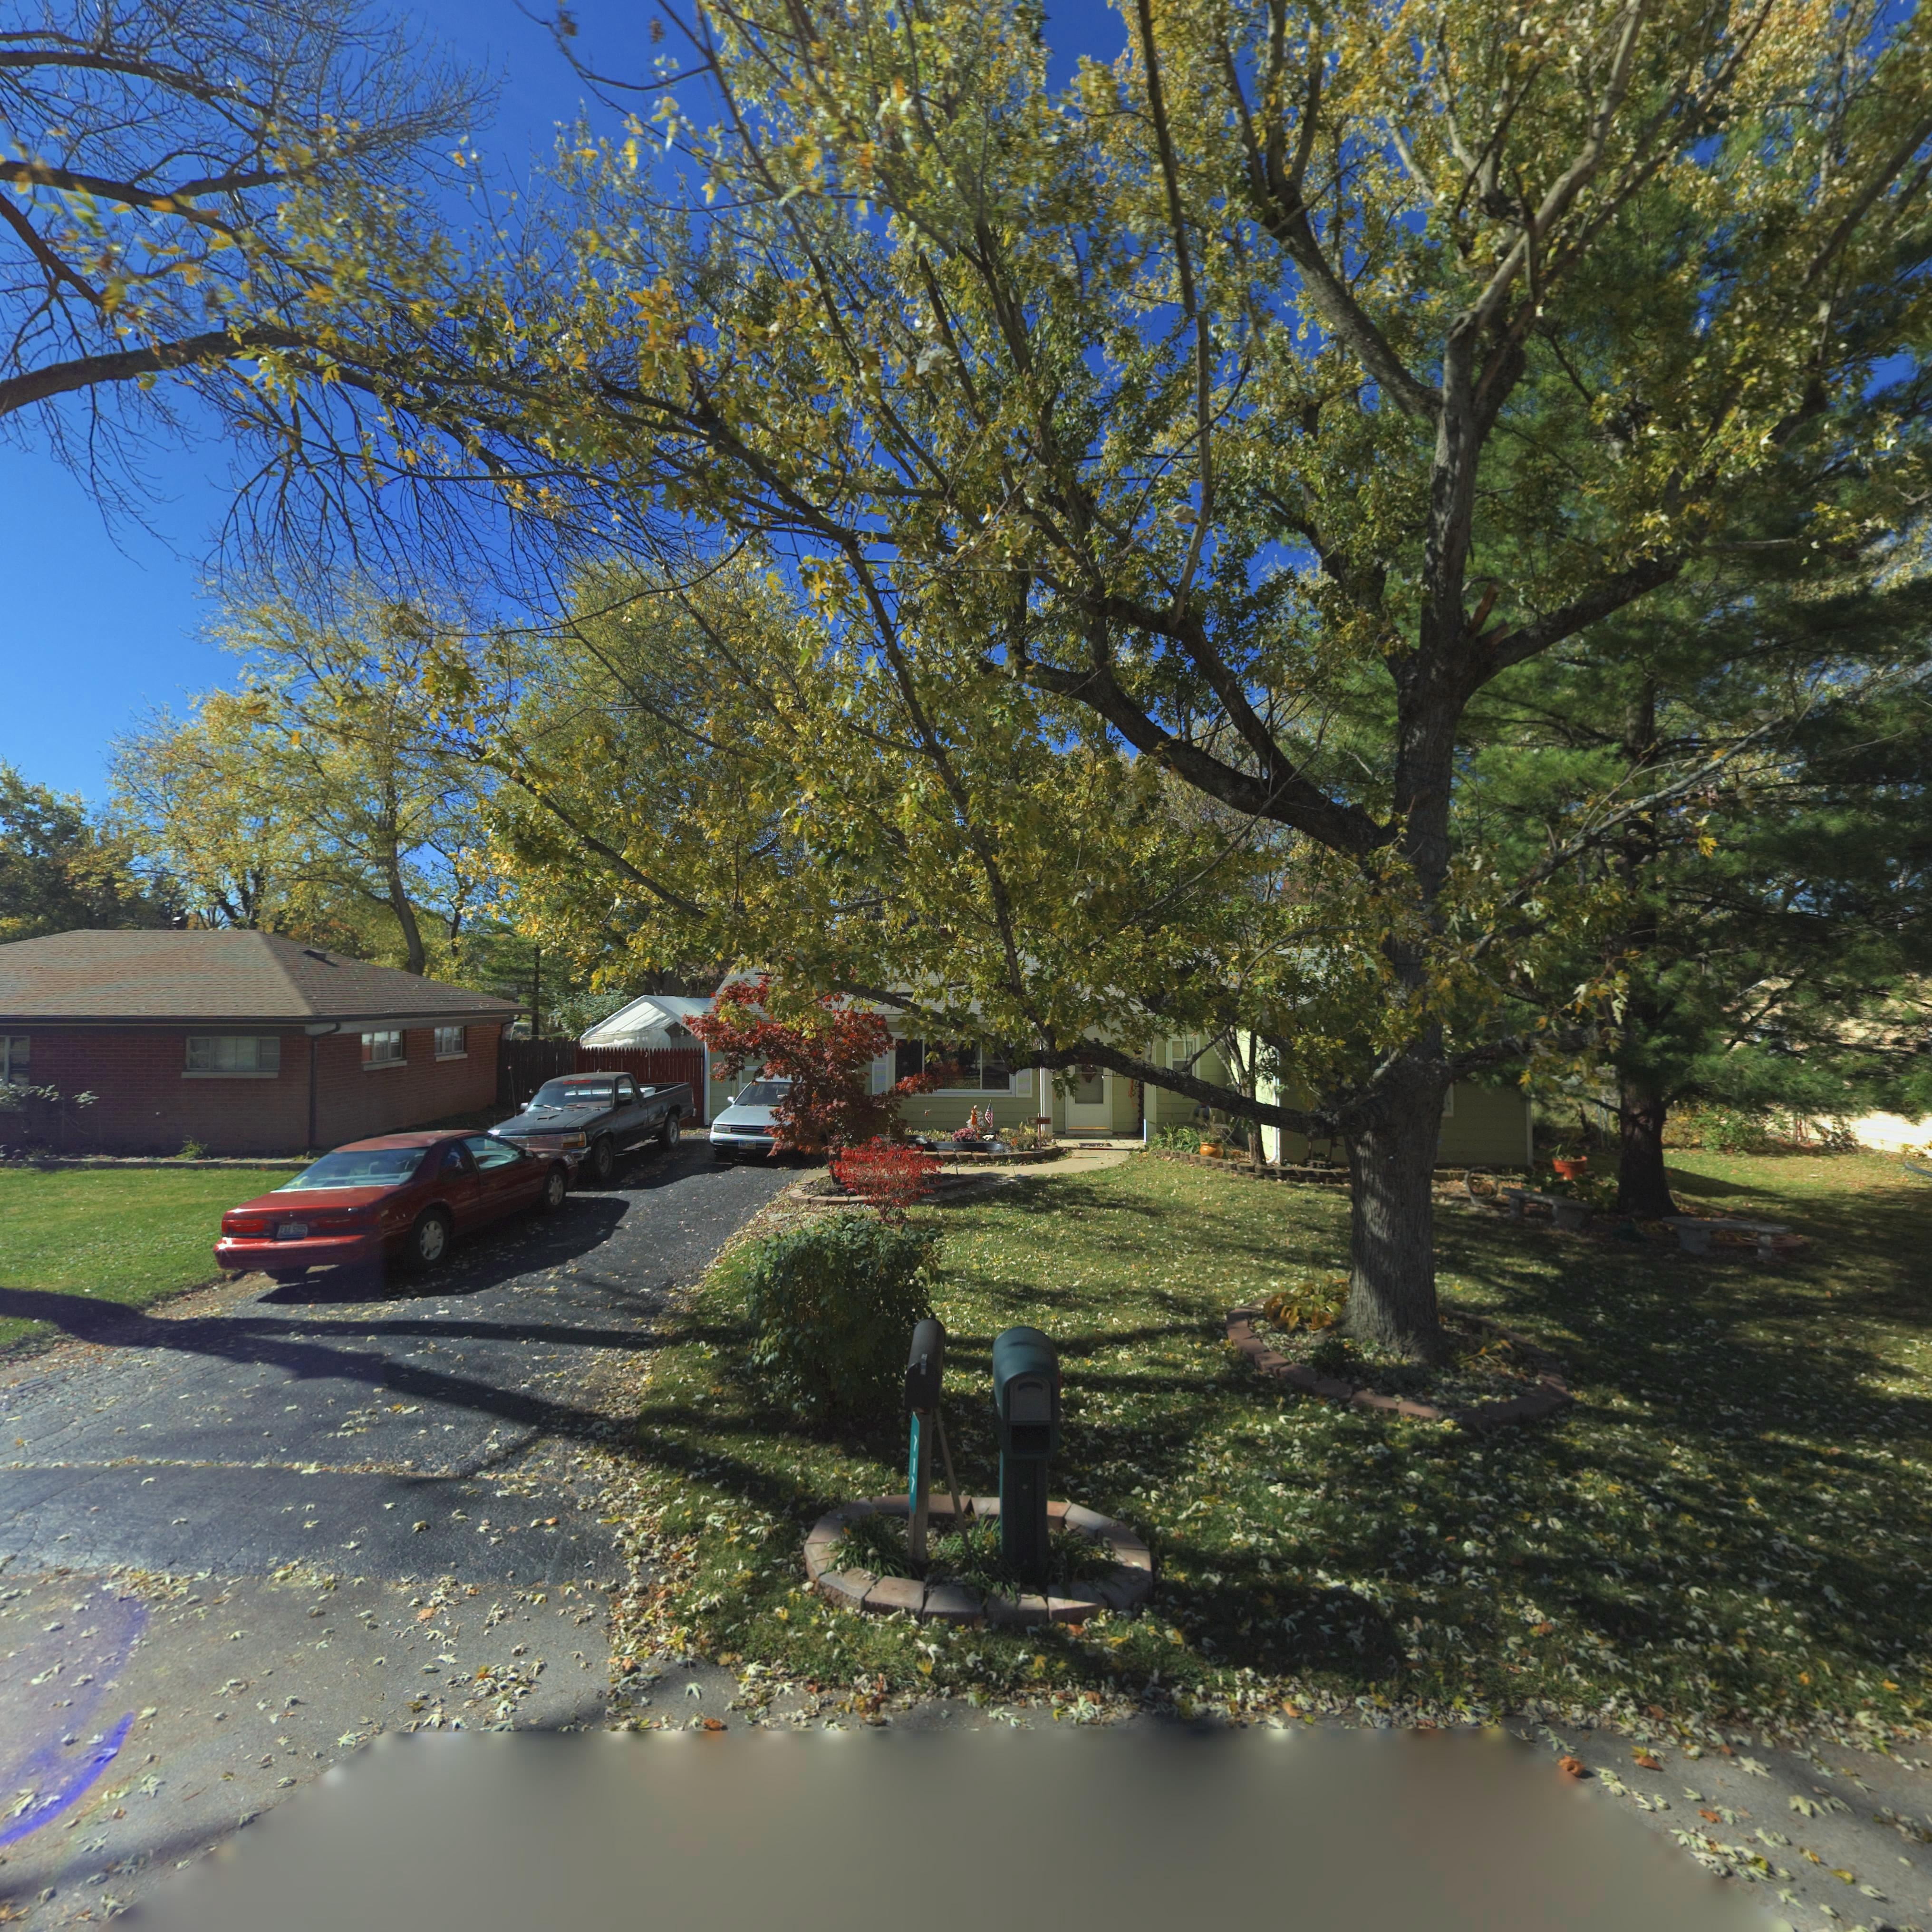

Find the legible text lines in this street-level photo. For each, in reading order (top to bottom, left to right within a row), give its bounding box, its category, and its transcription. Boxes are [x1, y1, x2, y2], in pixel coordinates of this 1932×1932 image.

[910, 1432, 918, 1495] StreetNumber: 717